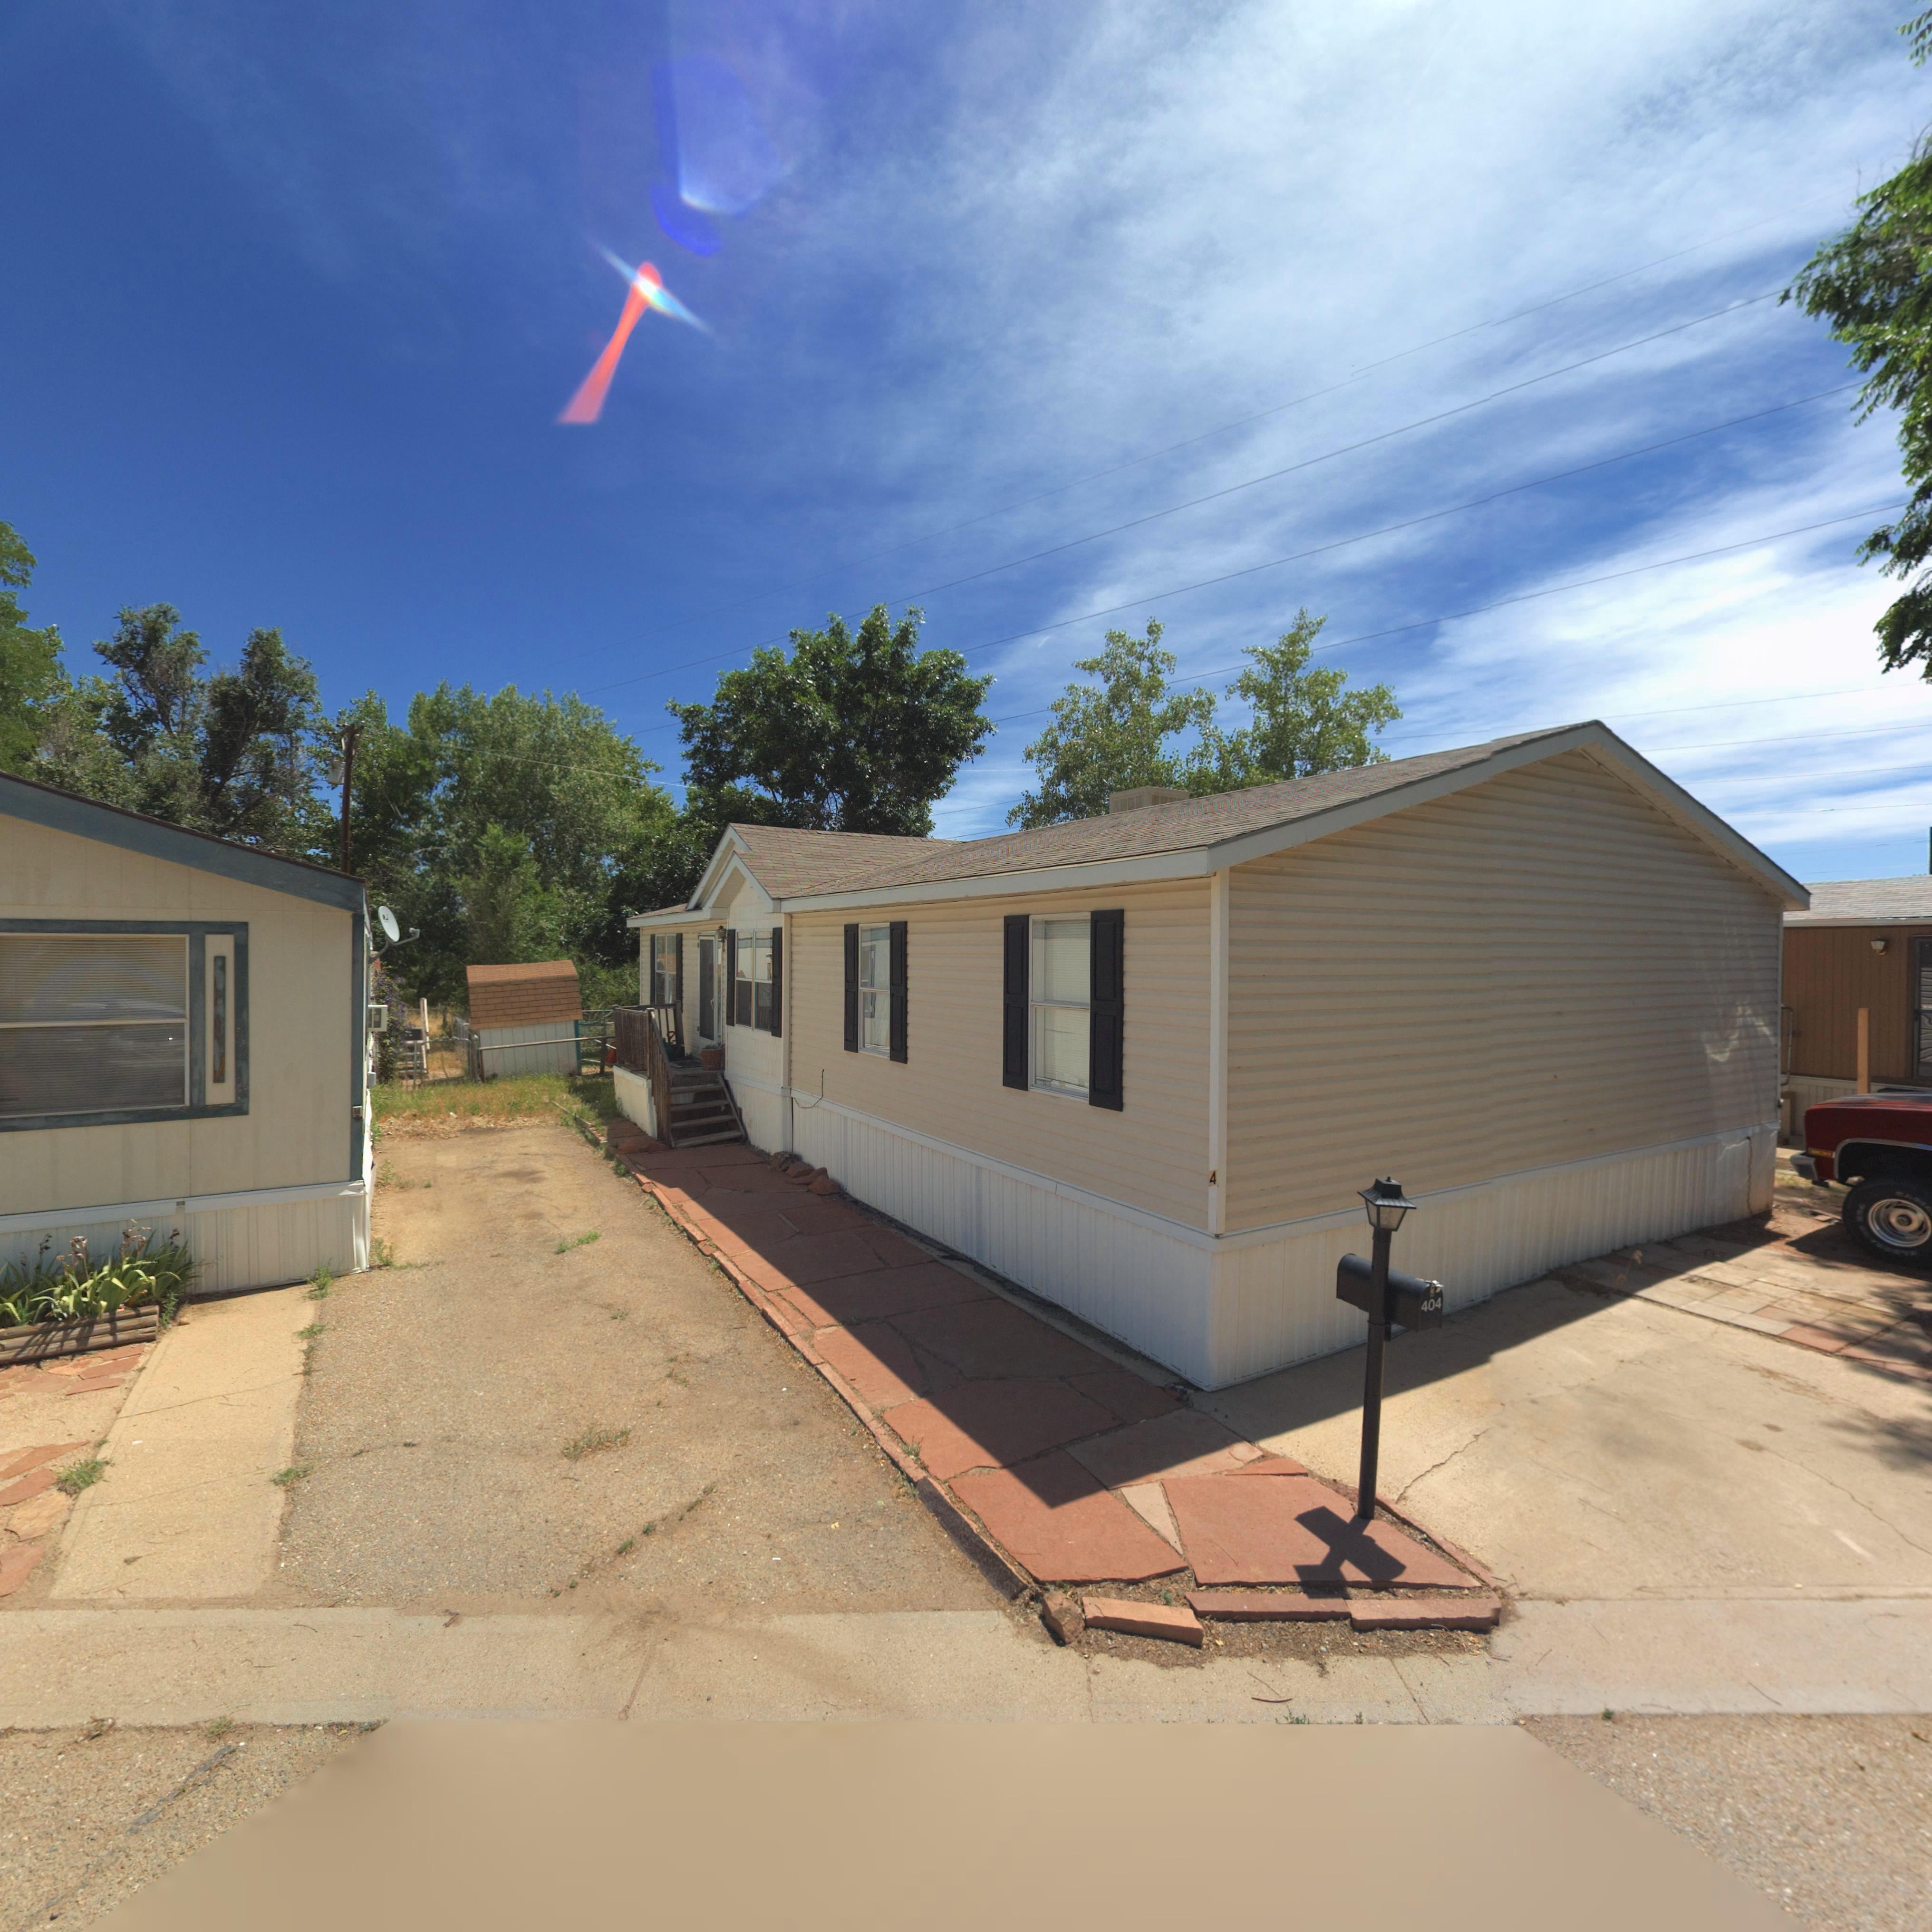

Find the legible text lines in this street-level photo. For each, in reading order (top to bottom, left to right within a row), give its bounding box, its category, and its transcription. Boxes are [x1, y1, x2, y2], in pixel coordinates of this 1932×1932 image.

[1420, 1296, 1442, 1312] StreetNumber: 404